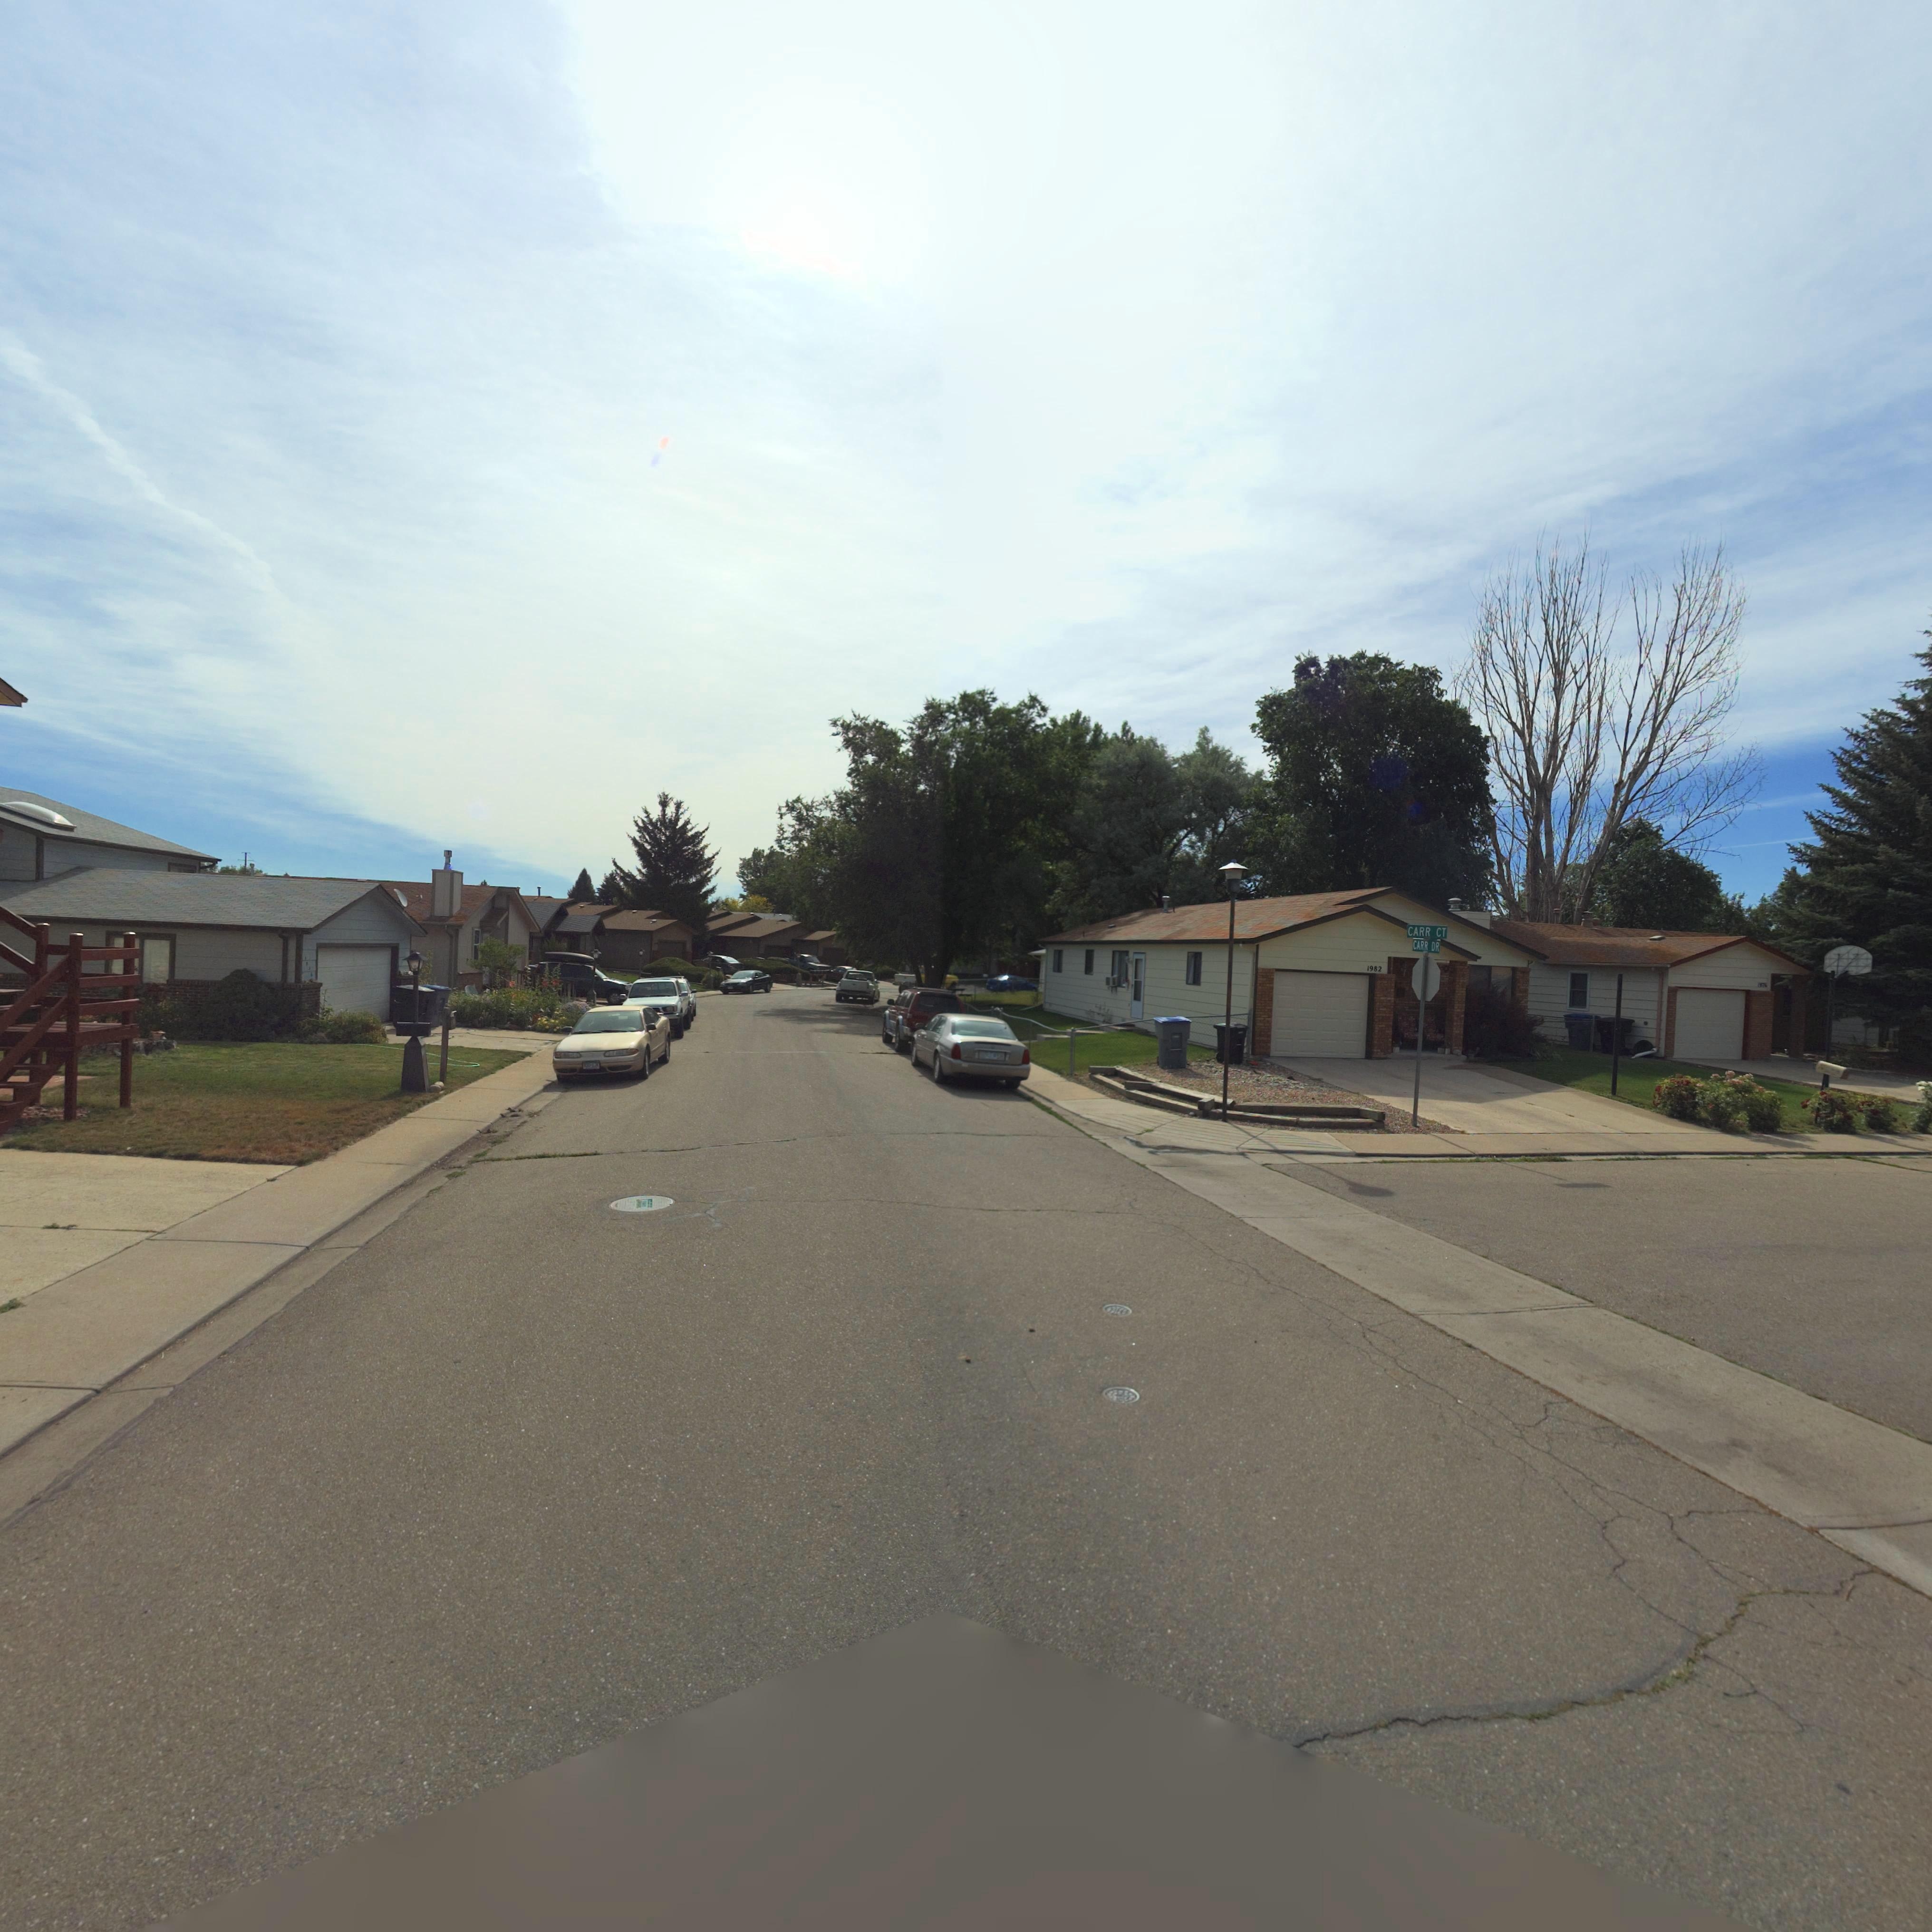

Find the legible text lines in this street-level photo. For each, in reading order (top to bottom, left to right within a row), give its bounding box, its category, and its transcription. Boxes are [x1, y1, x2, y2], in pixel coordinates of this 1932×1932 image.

[1407, 926, 1447, 937] StreetName: CARR CT
[1413, 940, 1439, 952] StreetName: CARR DR
[1367, 965, 1382, 972] StreetNumber: 1982
[1757, 982, 1768, 987] StreetNumber: **7*